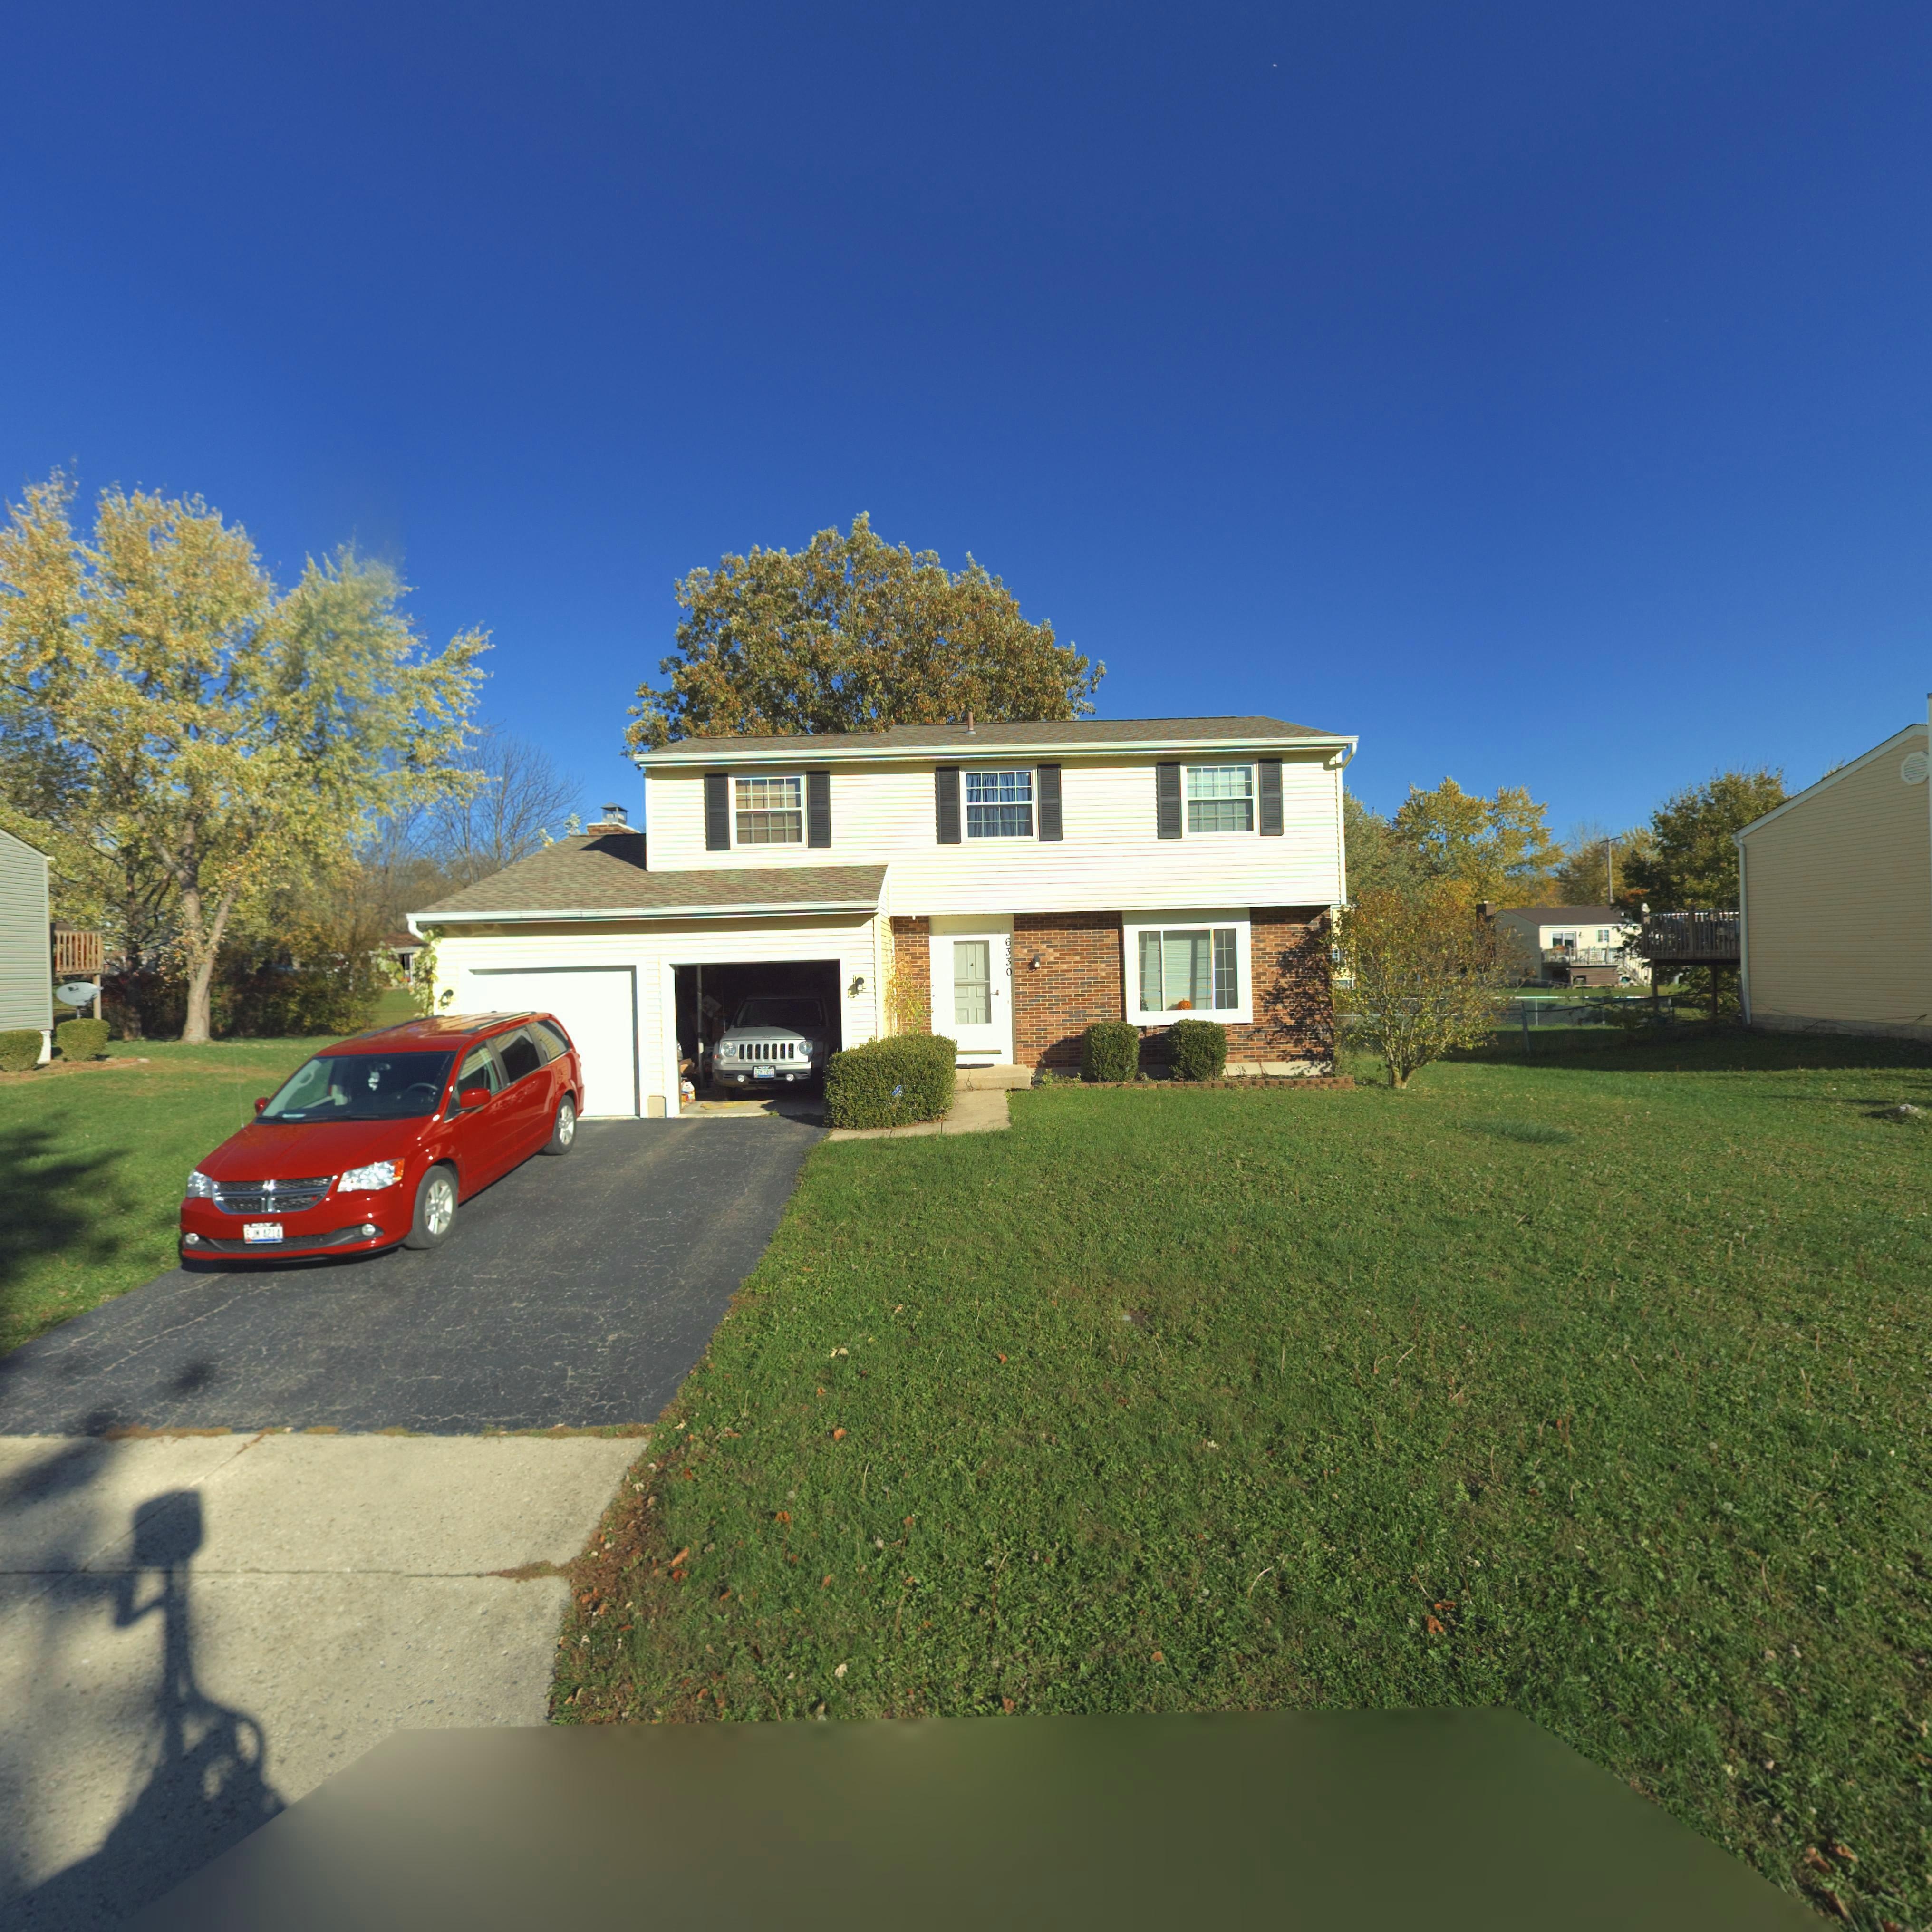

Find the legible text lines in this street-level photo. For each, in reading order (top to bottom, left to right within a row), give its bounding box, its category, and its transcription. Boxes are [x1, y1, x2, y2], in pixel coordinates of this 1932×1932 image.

[1005, 936, 1013, 978] StreetNumber: 6330